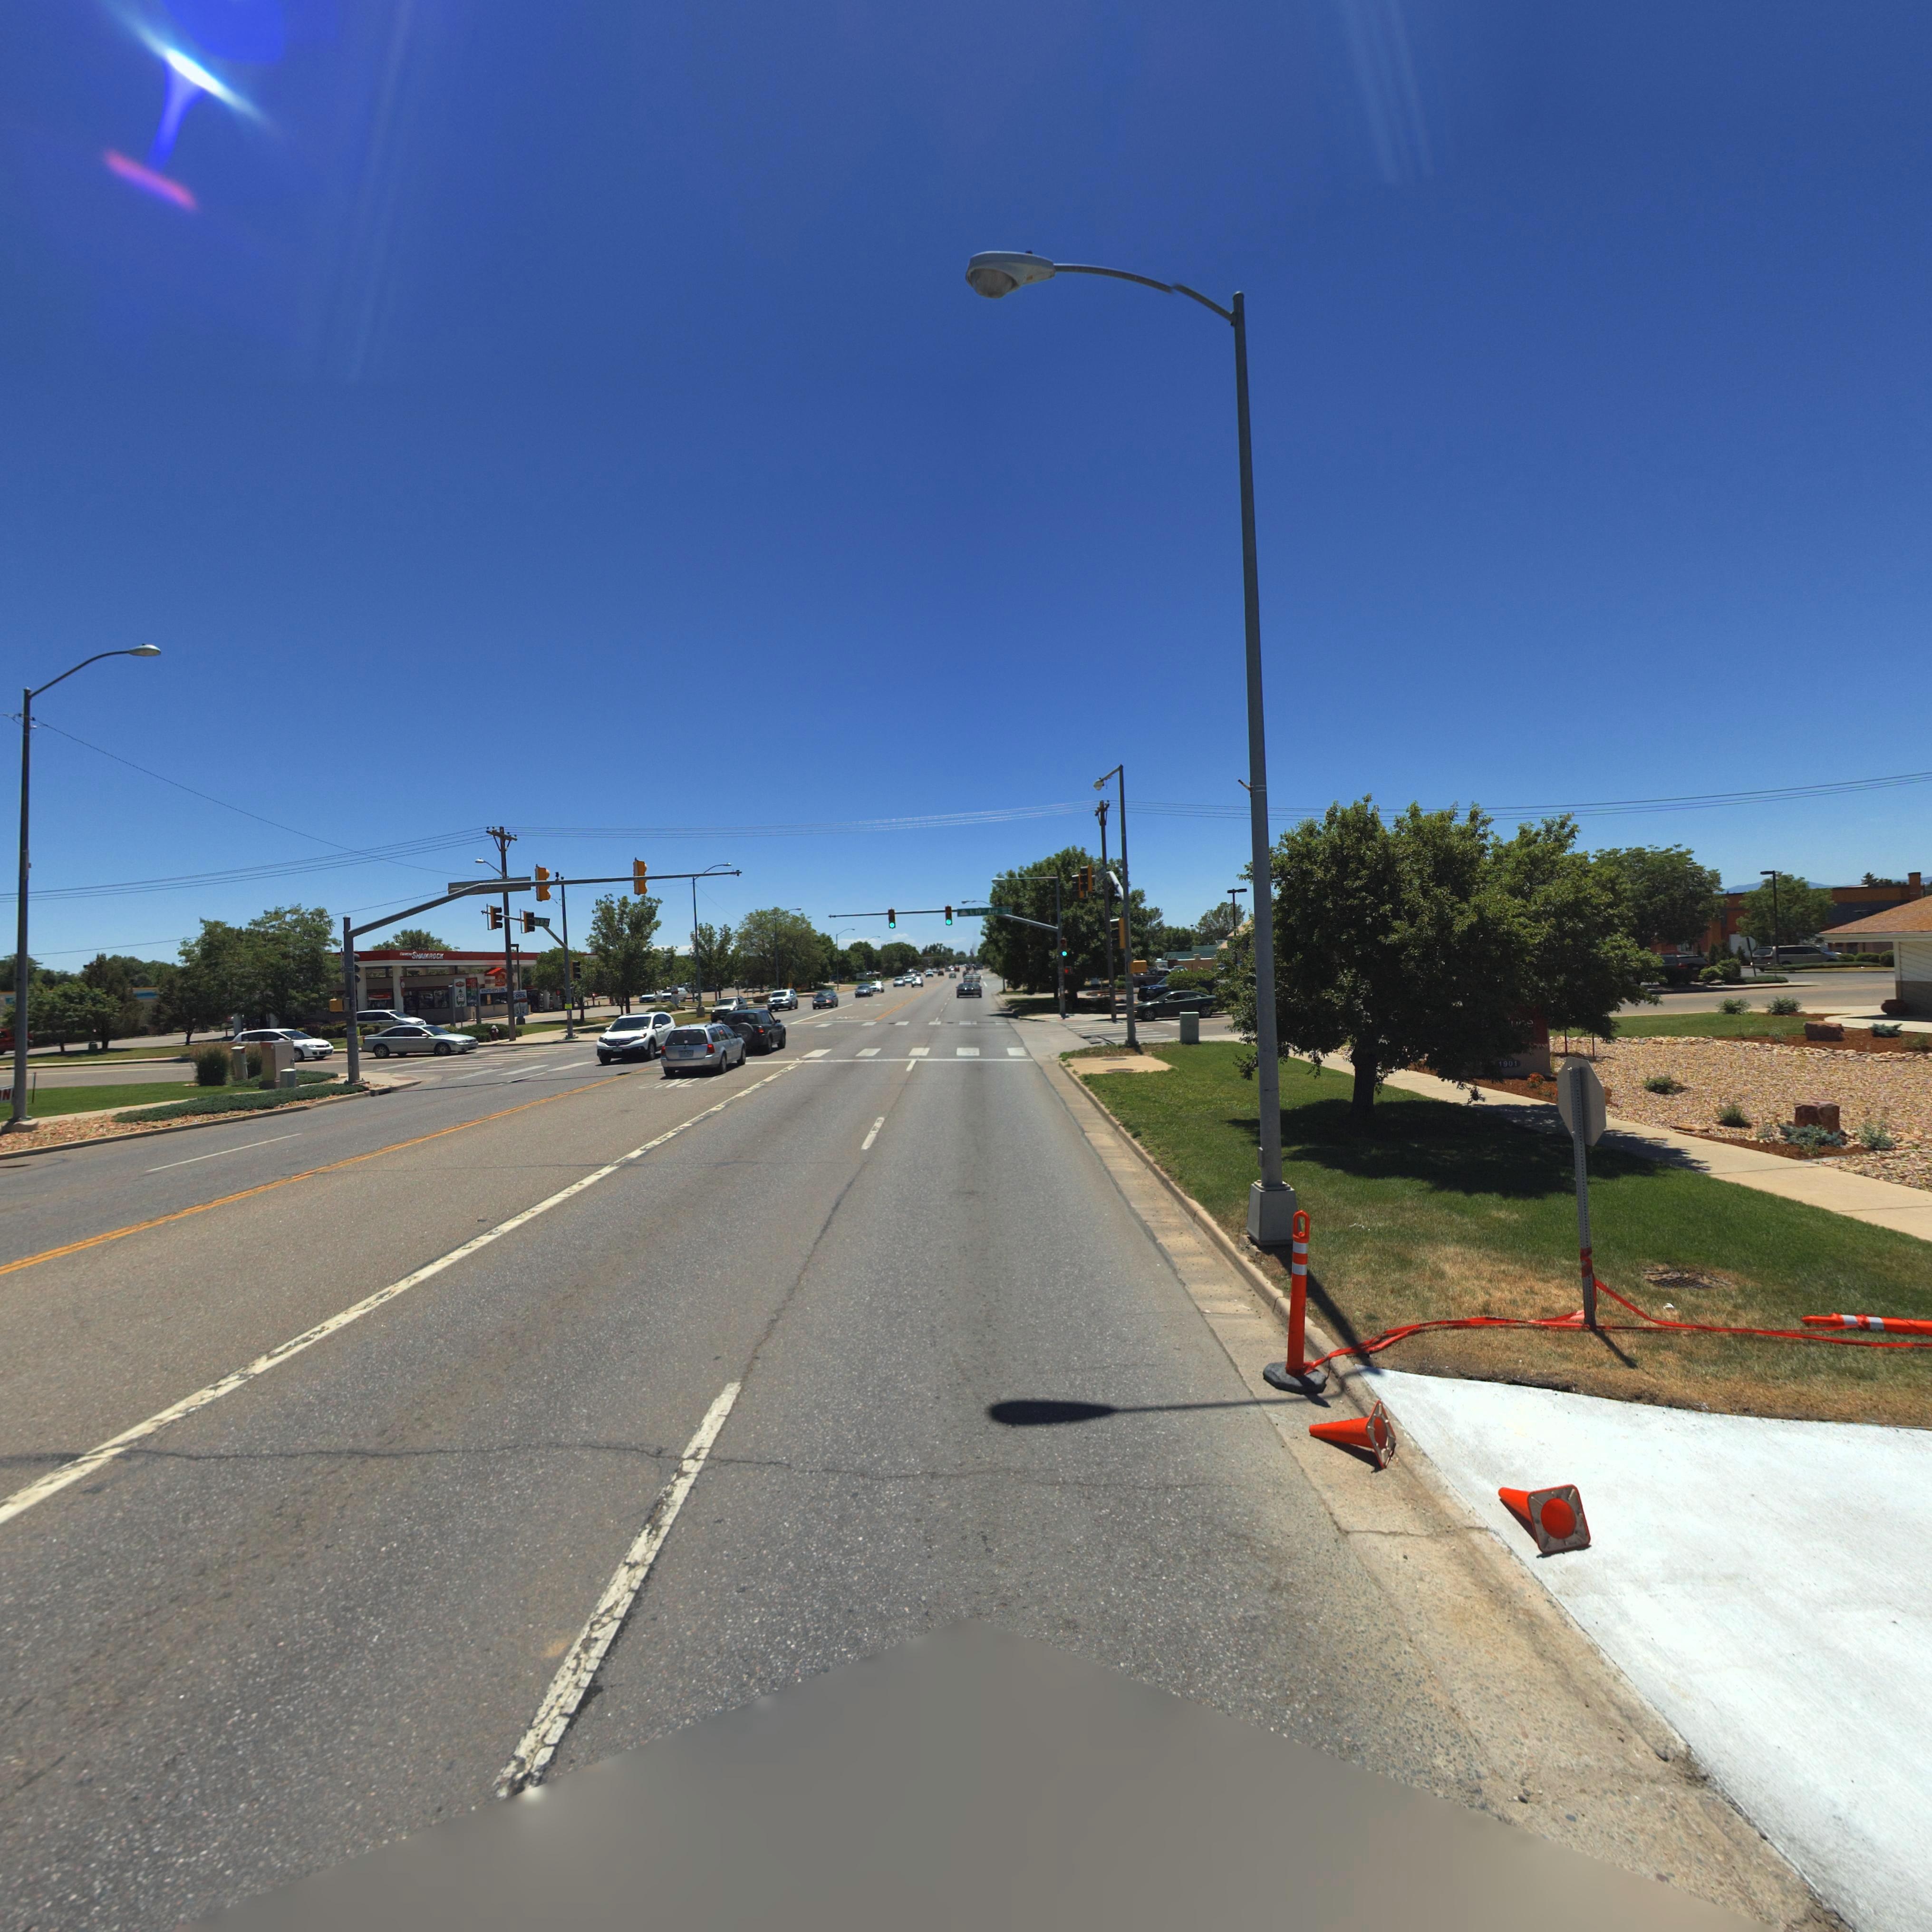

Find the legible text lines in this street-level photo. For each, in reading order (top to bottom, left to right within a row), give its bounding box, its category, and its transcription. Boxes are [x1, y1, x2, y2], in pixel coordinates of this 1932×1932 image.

[969, 908, 998, 915] StreetName: * 19th Ave
[534, 918, 544, 925] StreetName: **in St
[399, 951, 412, 956] BusinessName: D******
[411, 951, 444, 959] BusinessName: SHAMROCK
[1510, 1016, 1534, 1029] BusinessName: **e
[1498, 1061, 1517, 1067] BusinessName: 1901